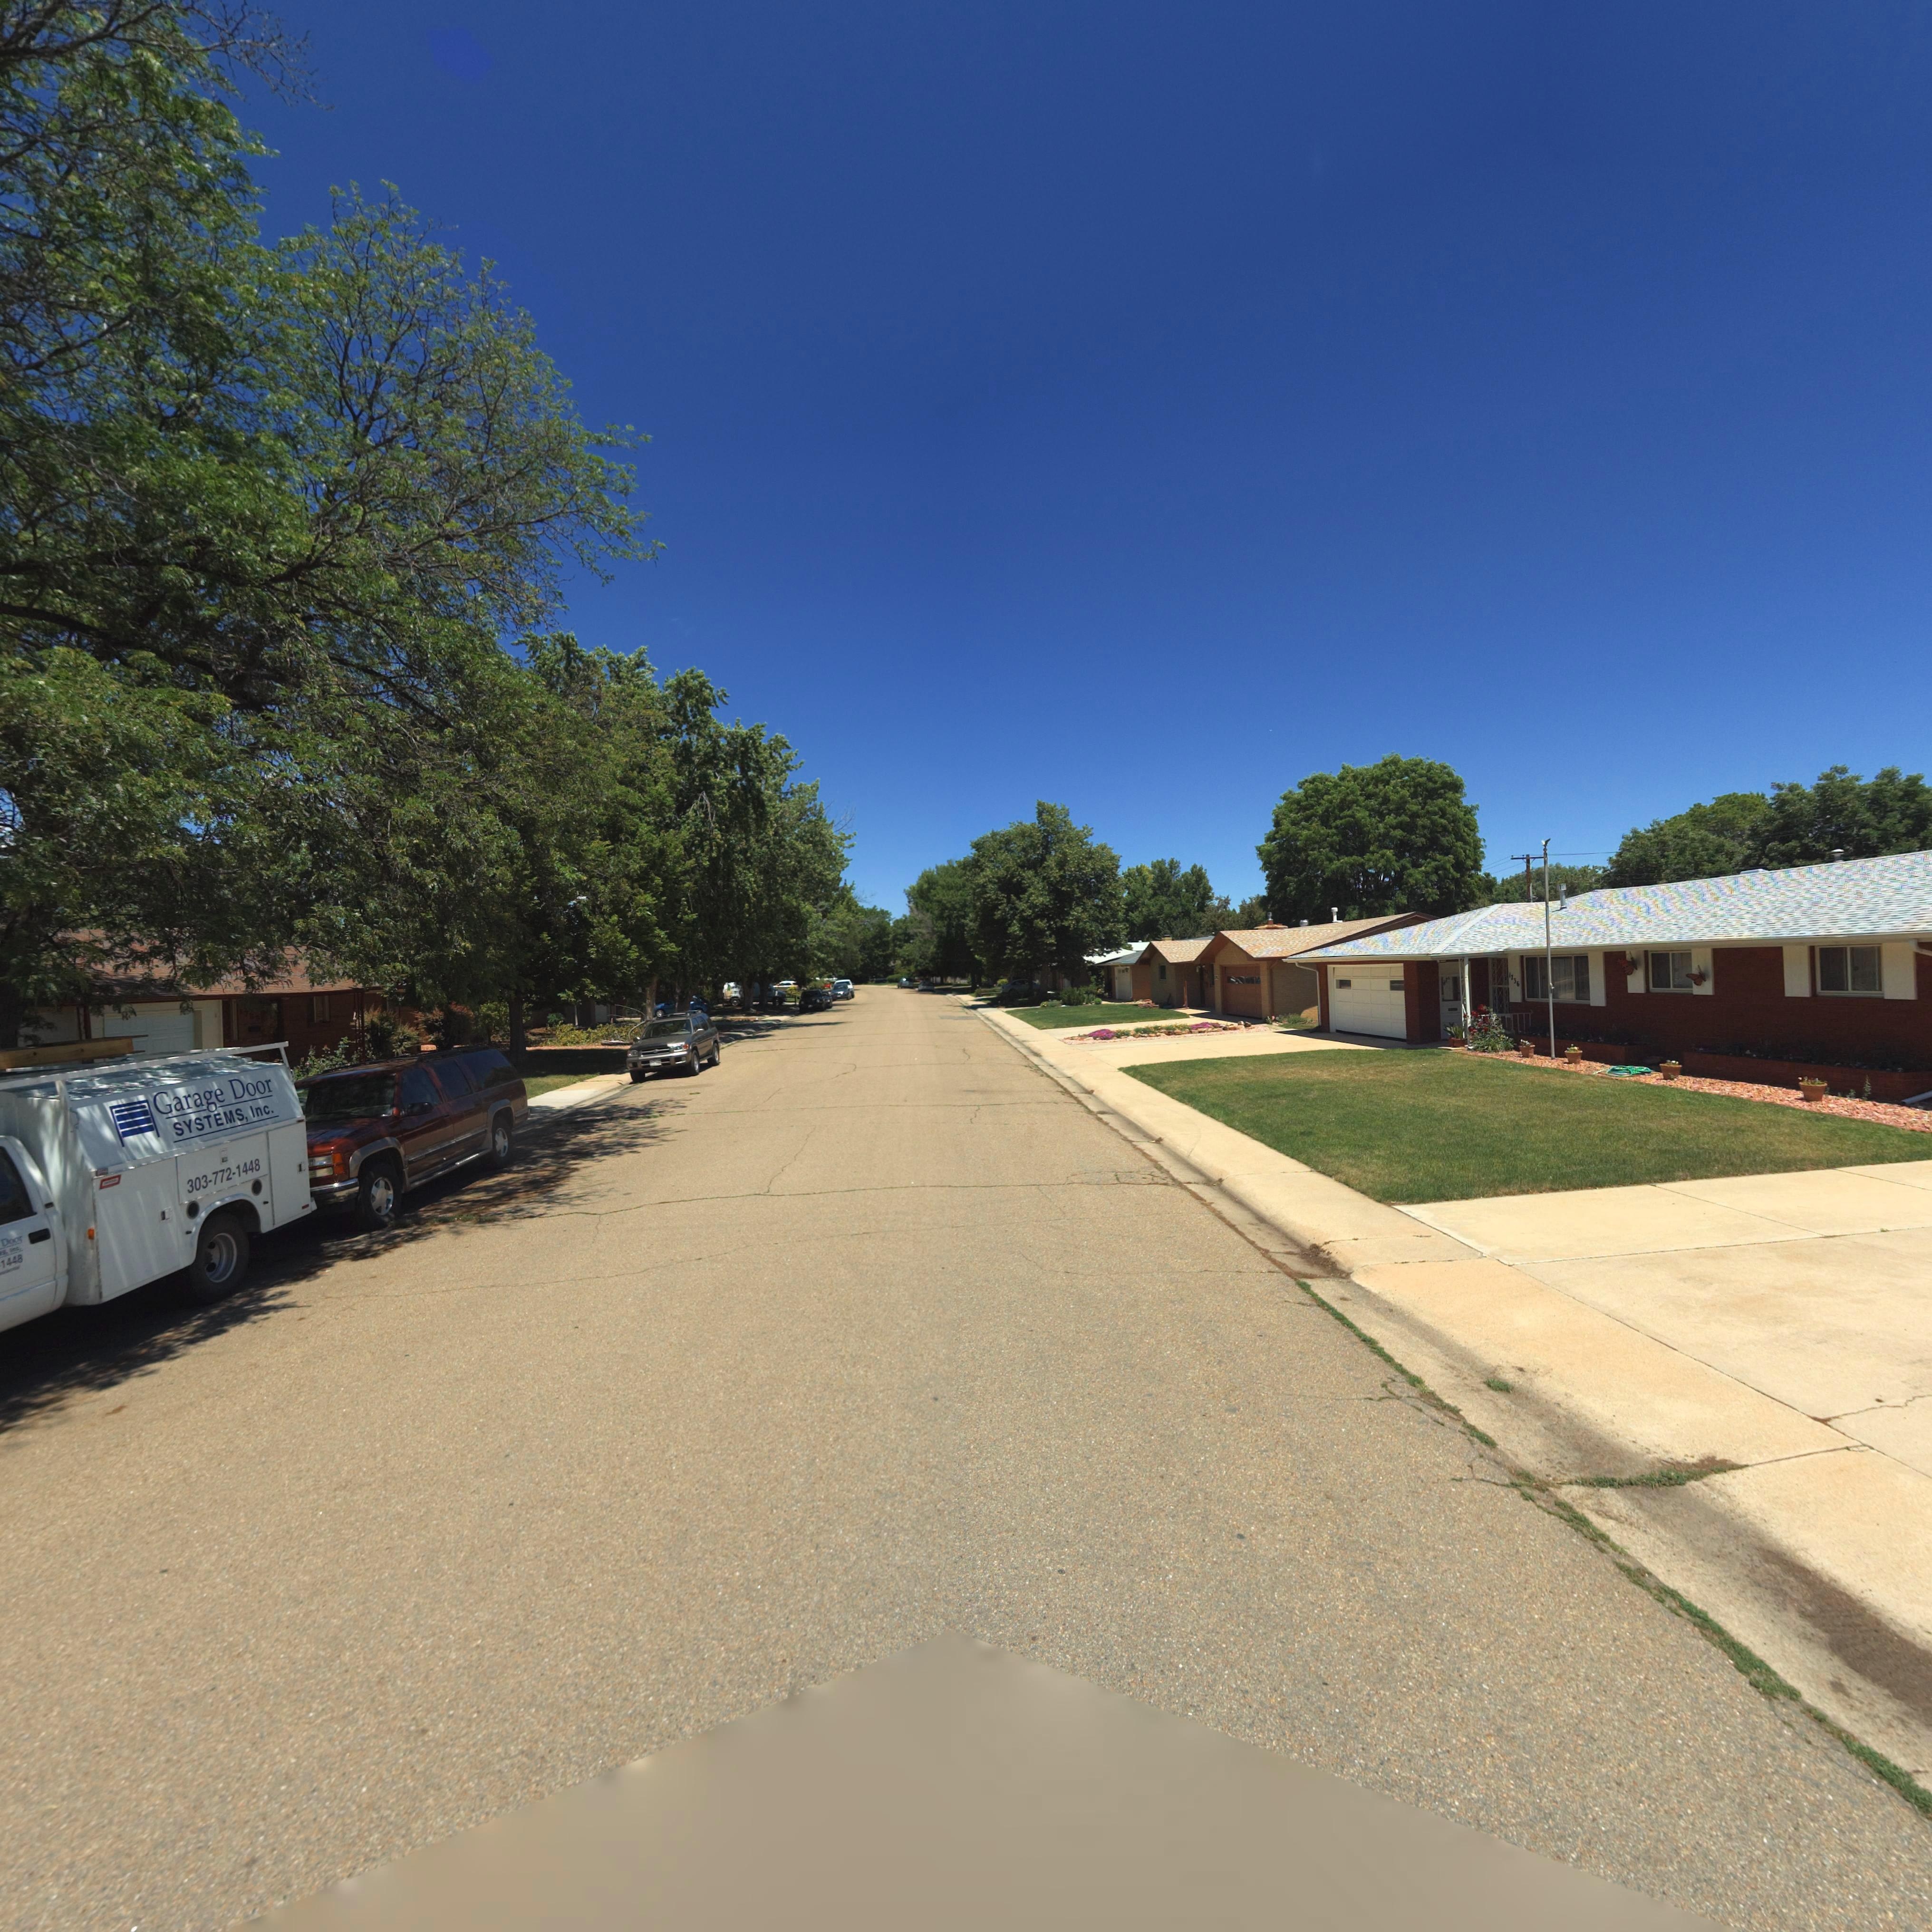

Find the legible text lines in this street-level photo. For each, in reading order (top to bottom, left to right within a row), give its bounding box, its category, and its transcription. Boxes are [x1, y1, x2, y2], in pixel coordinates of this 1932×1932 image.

[1508, 972, 1520, 987] StreetNumber: 1*36